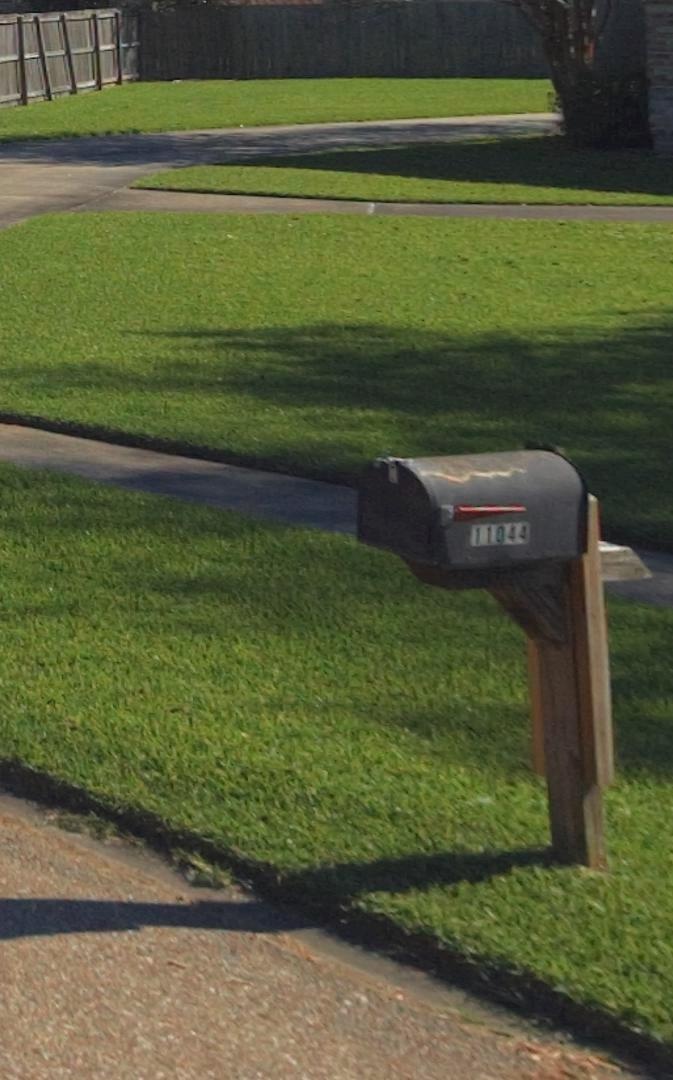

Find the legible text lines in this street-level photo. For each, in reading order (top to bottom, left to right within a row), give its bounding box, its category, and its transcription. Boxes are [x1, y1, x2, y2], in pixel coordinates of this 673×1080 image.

[472, 523, 528, 546] StreetNumber: 11044